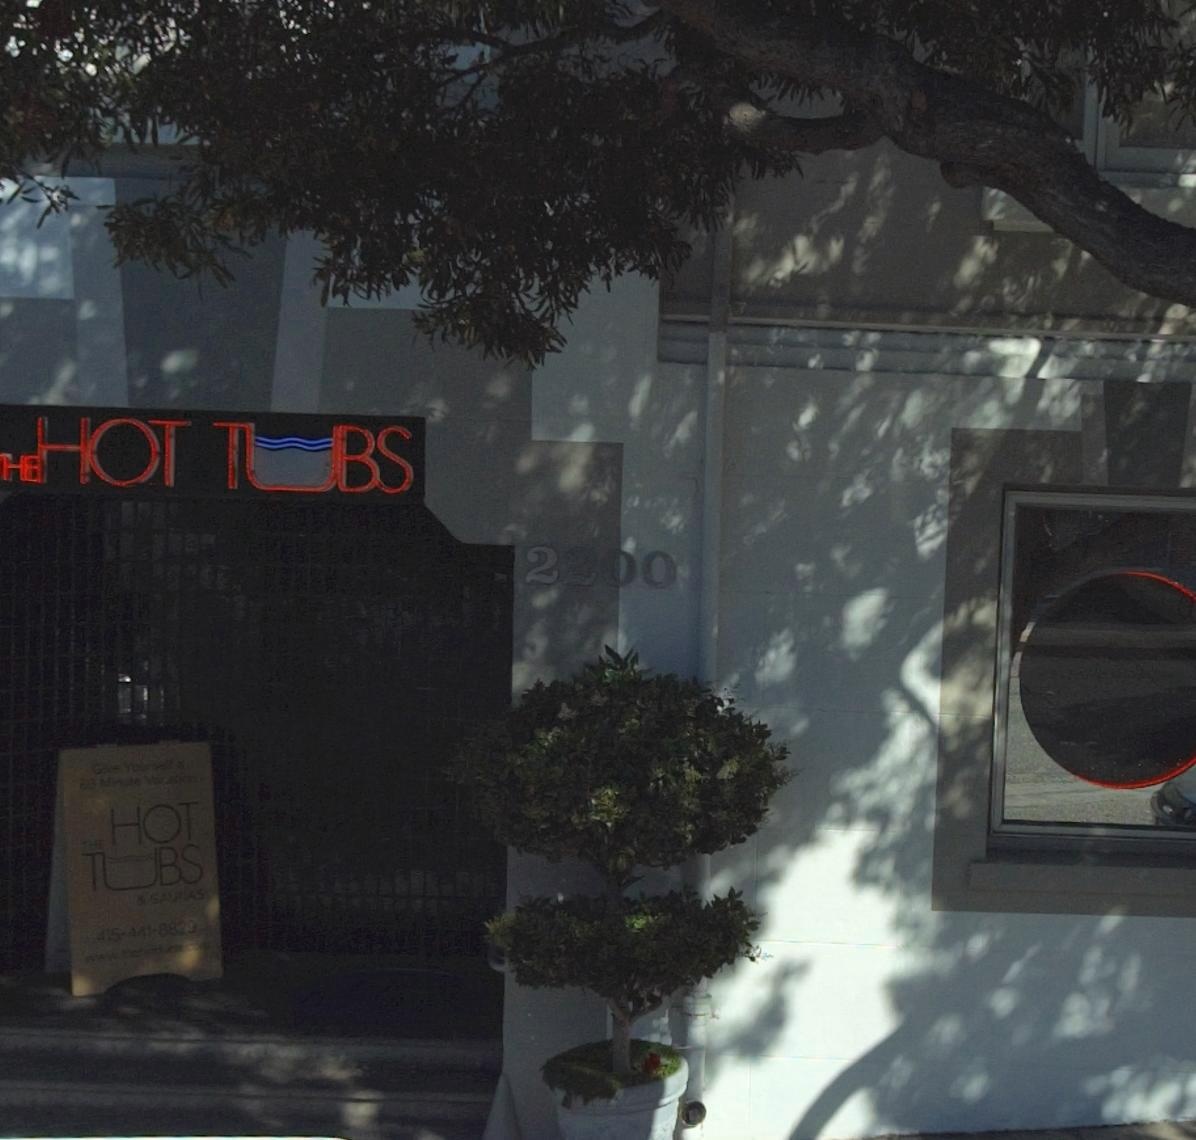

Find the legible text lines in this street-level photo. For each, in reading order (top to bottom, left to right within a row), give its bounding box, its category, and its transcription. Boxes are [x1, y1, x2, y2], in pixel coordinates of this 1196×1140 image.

[32, 413, 194, 492] BusinessName: HOT
[205, 419, 417, 497] BusinessName: T*BS
[523, 542, 679, 590] StreetNumber: 2200
[104, 796, 201, 851] BusinessName: HOT
[77, 840, 208, 899] BusinessName: T*BS
[147, 886, 208, 908] BusinessName: SAUNAS
[92, 916, 200, 945] None: 415-441-8829